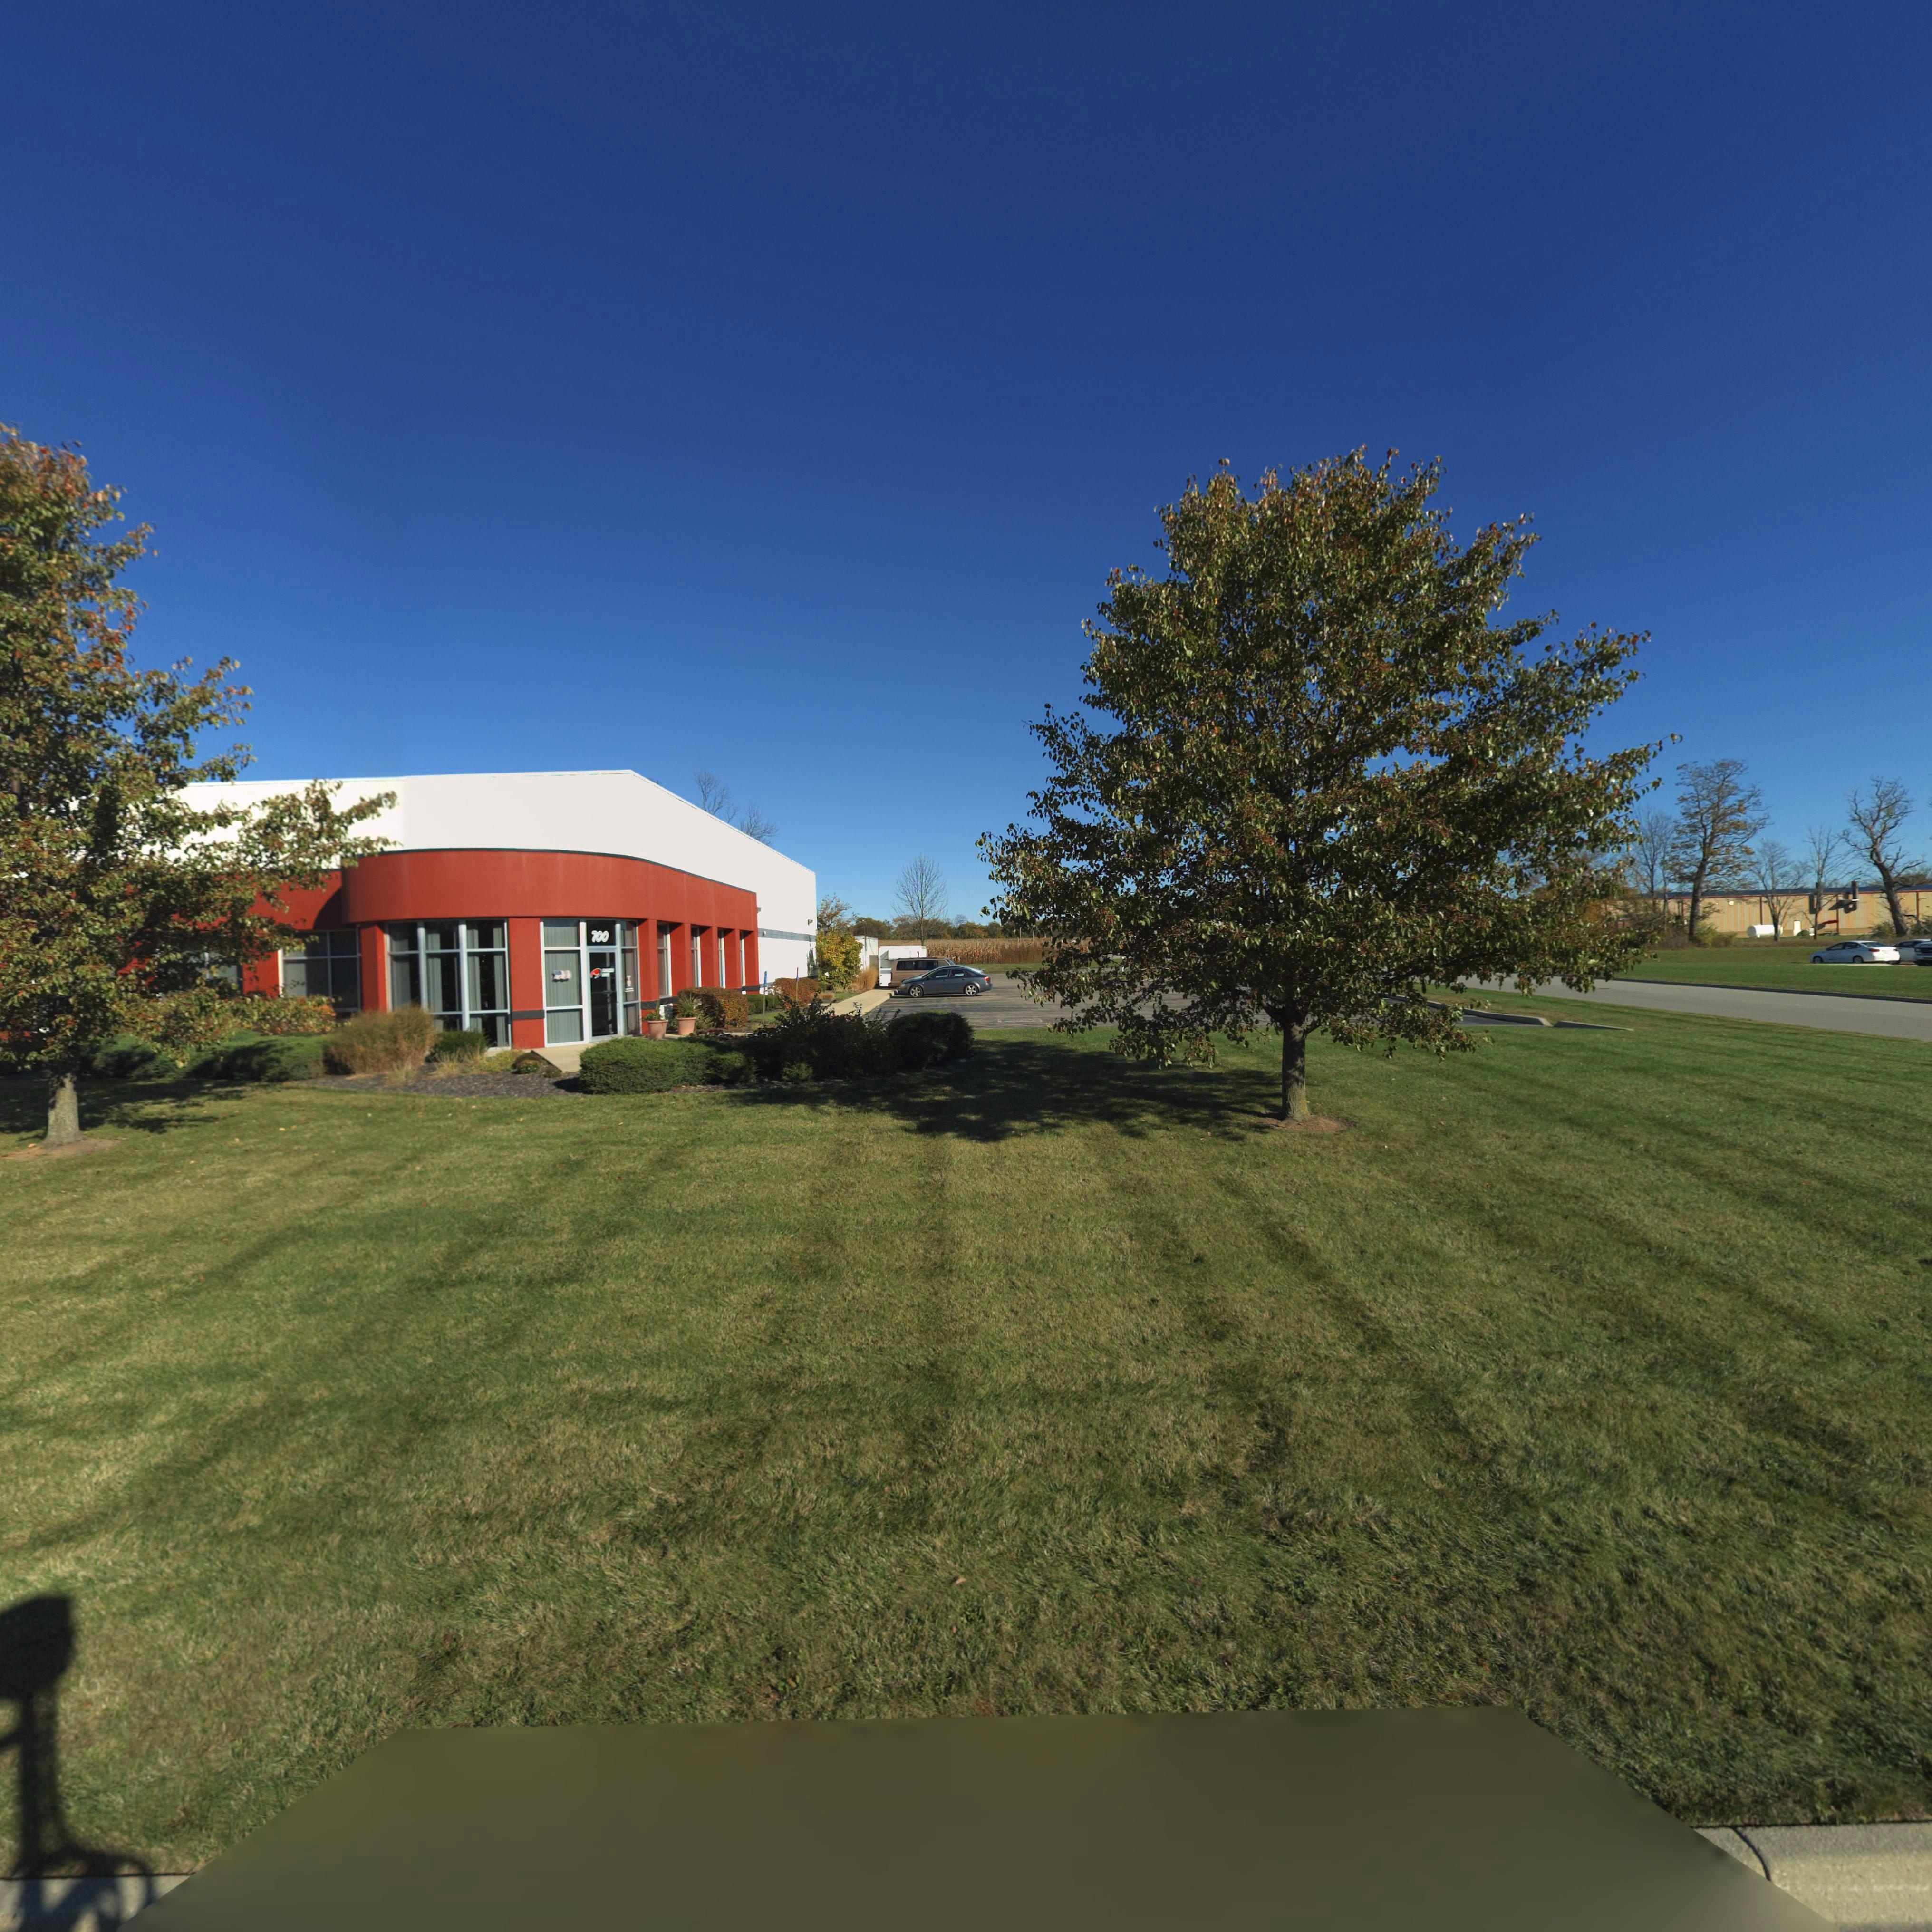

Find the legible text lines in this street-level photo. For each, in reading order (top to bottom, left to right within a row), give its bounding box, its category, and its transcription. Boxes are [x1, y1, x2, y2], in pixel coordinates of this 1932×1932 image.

[590, 930, 609, 943] StreetNumber: 700
[553, 969, 572, 980] StreetNumber: 700